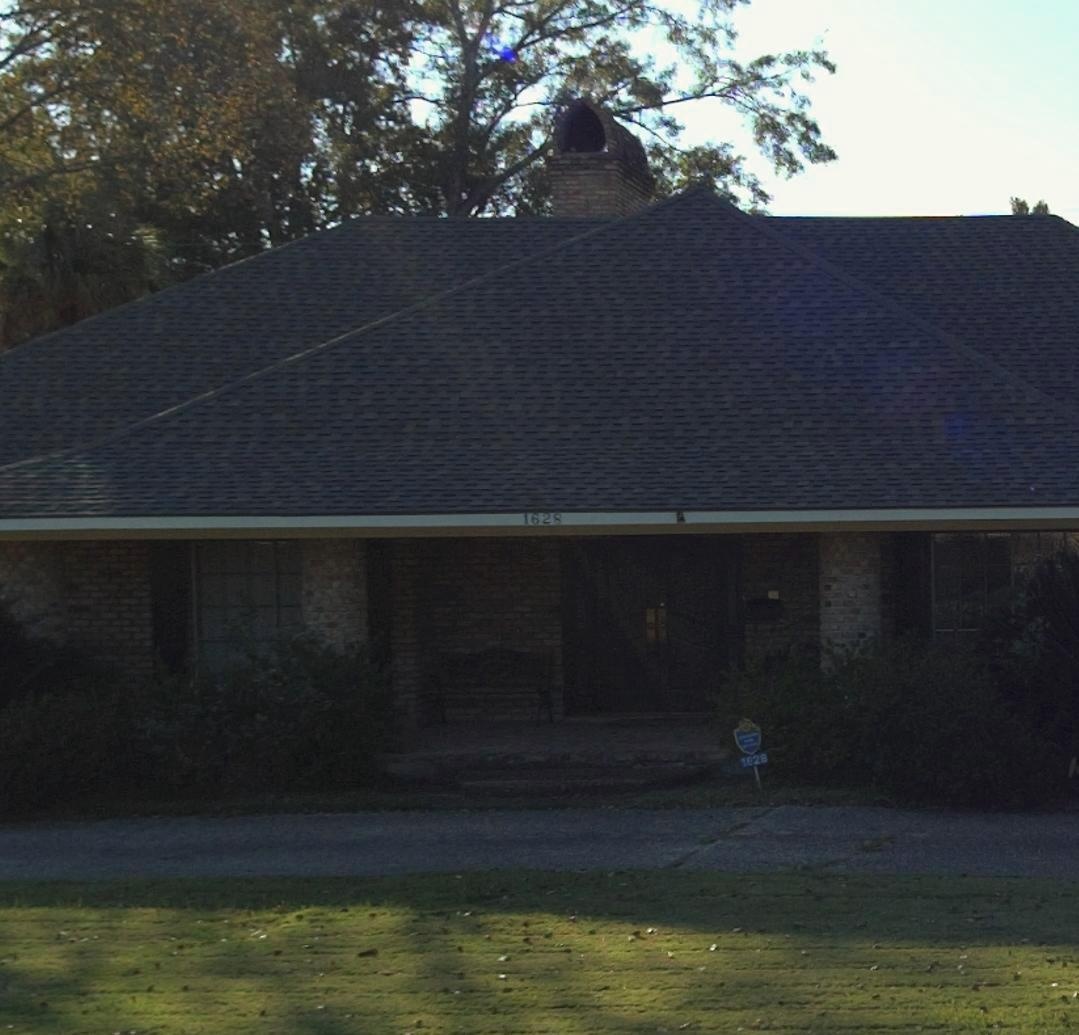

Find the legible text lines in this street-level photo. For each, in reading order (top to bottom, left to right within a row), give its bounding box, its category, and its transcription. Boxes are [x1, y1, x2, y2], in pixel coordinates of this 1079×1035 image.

[523, 511, 563, 525] StreetNumber: 1628
[740, 753, 769, 769] StreetNumber: 1*28